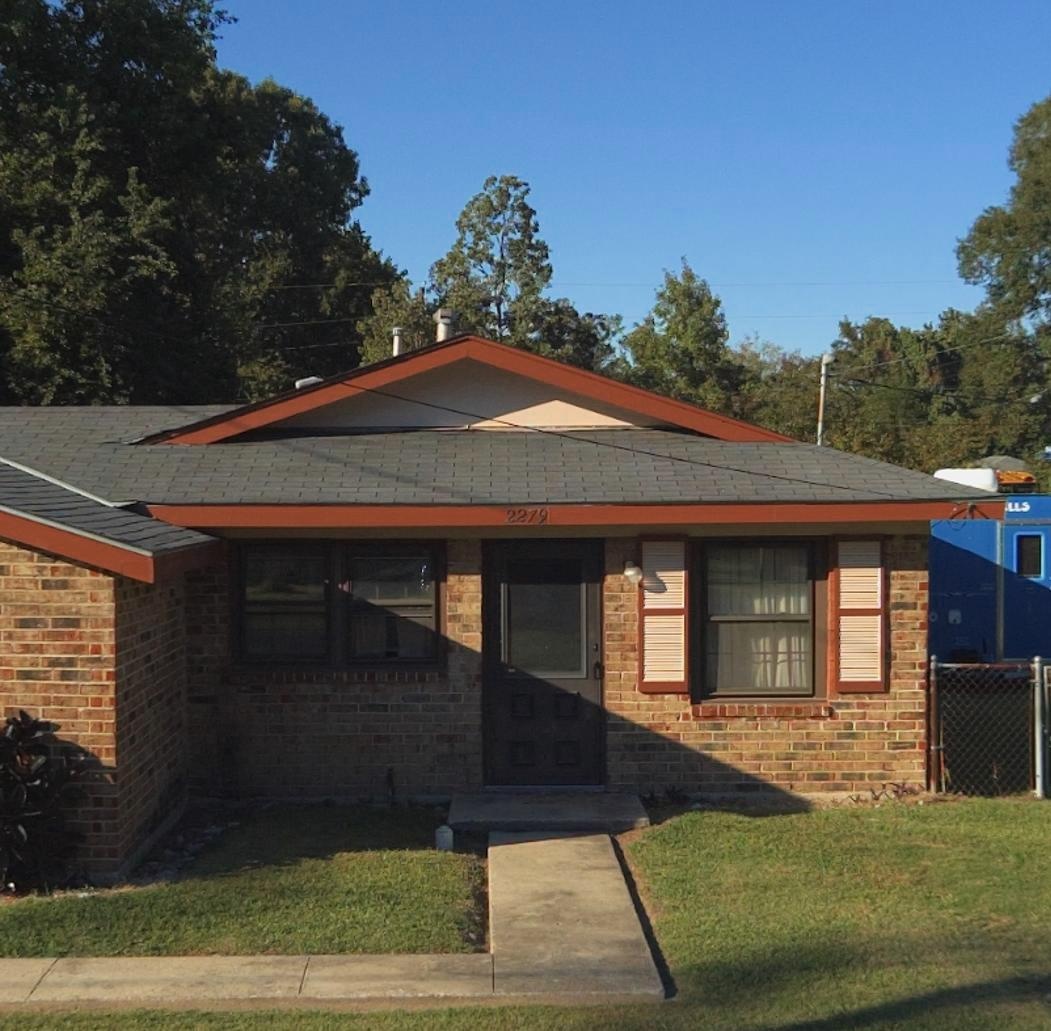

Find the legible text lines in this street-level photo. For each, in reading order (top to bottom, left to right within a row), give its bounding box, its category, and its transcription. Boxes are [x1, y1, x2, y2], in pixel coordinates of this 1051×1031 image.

[1007, 501, 1031, 513] None: LLS
[504, 508, 549, 525] StreetNumber: 2279